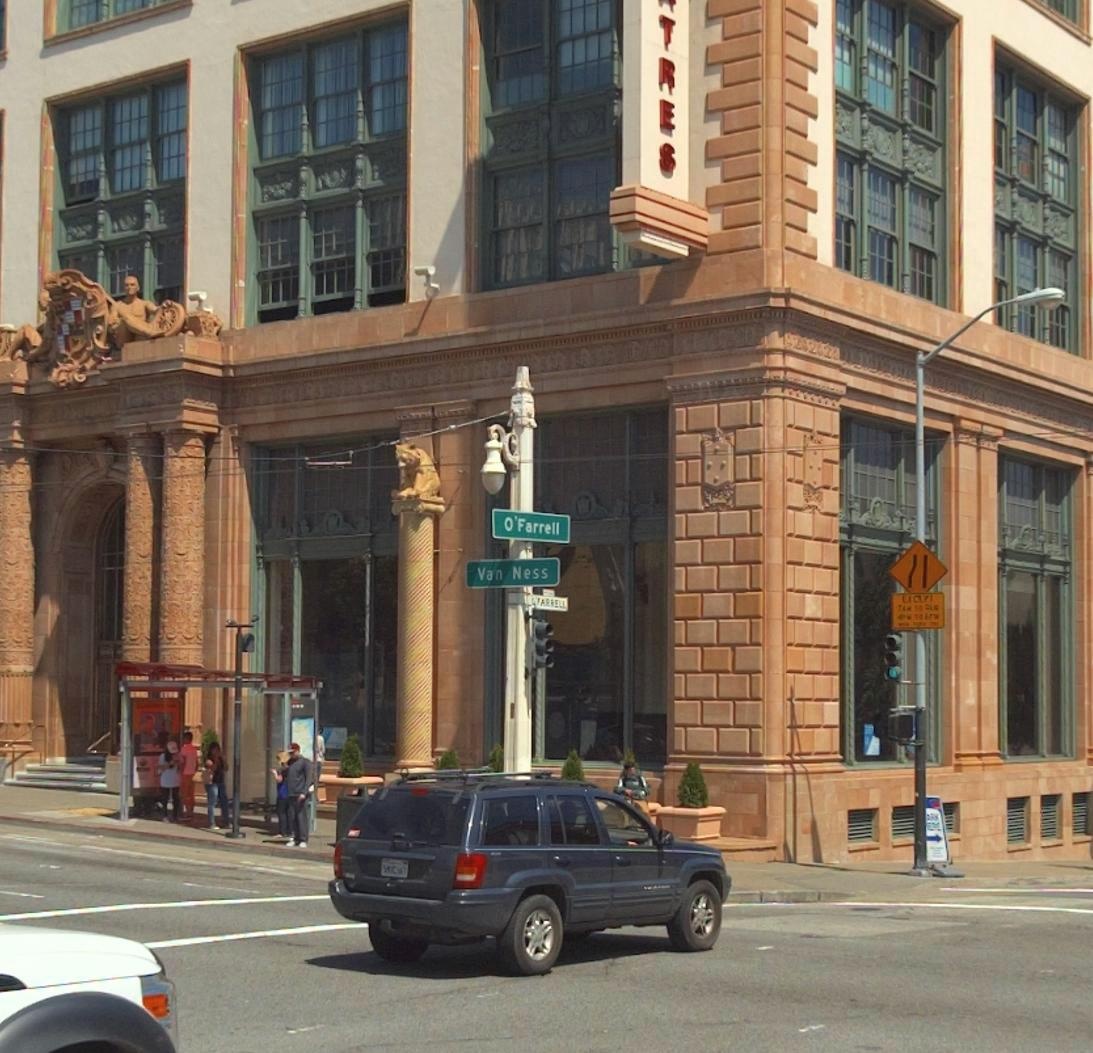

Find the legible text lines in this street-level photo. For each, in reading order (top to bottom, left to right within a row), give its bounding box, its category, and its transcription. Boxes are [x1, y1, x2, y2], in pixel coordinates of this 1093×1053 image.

[655, 13, 677, 178] None: TRES
[502, 514, 560, 536] StreetName: O'Farrell
[475, 565, 549, 582] StreetName: Van Ness
[536, 596, 568, 610] StreetName: FARRELL